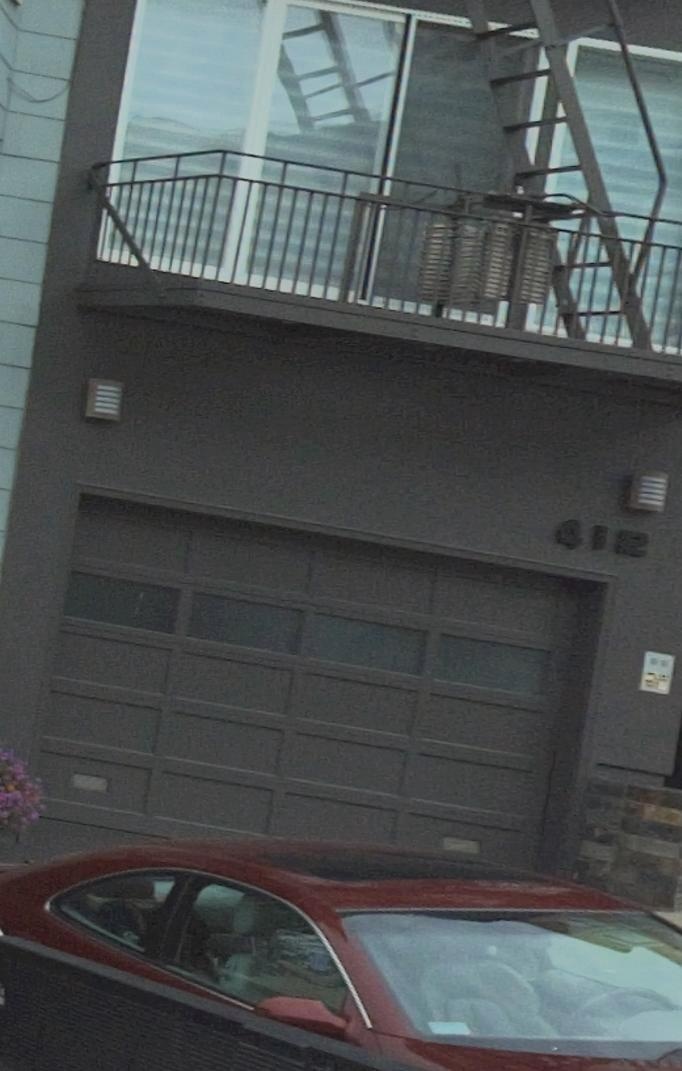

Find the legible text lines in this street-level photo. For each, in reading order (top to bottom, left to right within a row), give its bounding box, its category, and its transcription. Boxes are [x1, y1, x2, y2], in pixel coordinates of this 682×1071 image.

[546, 512, 654, 565] StreetNumber: 412